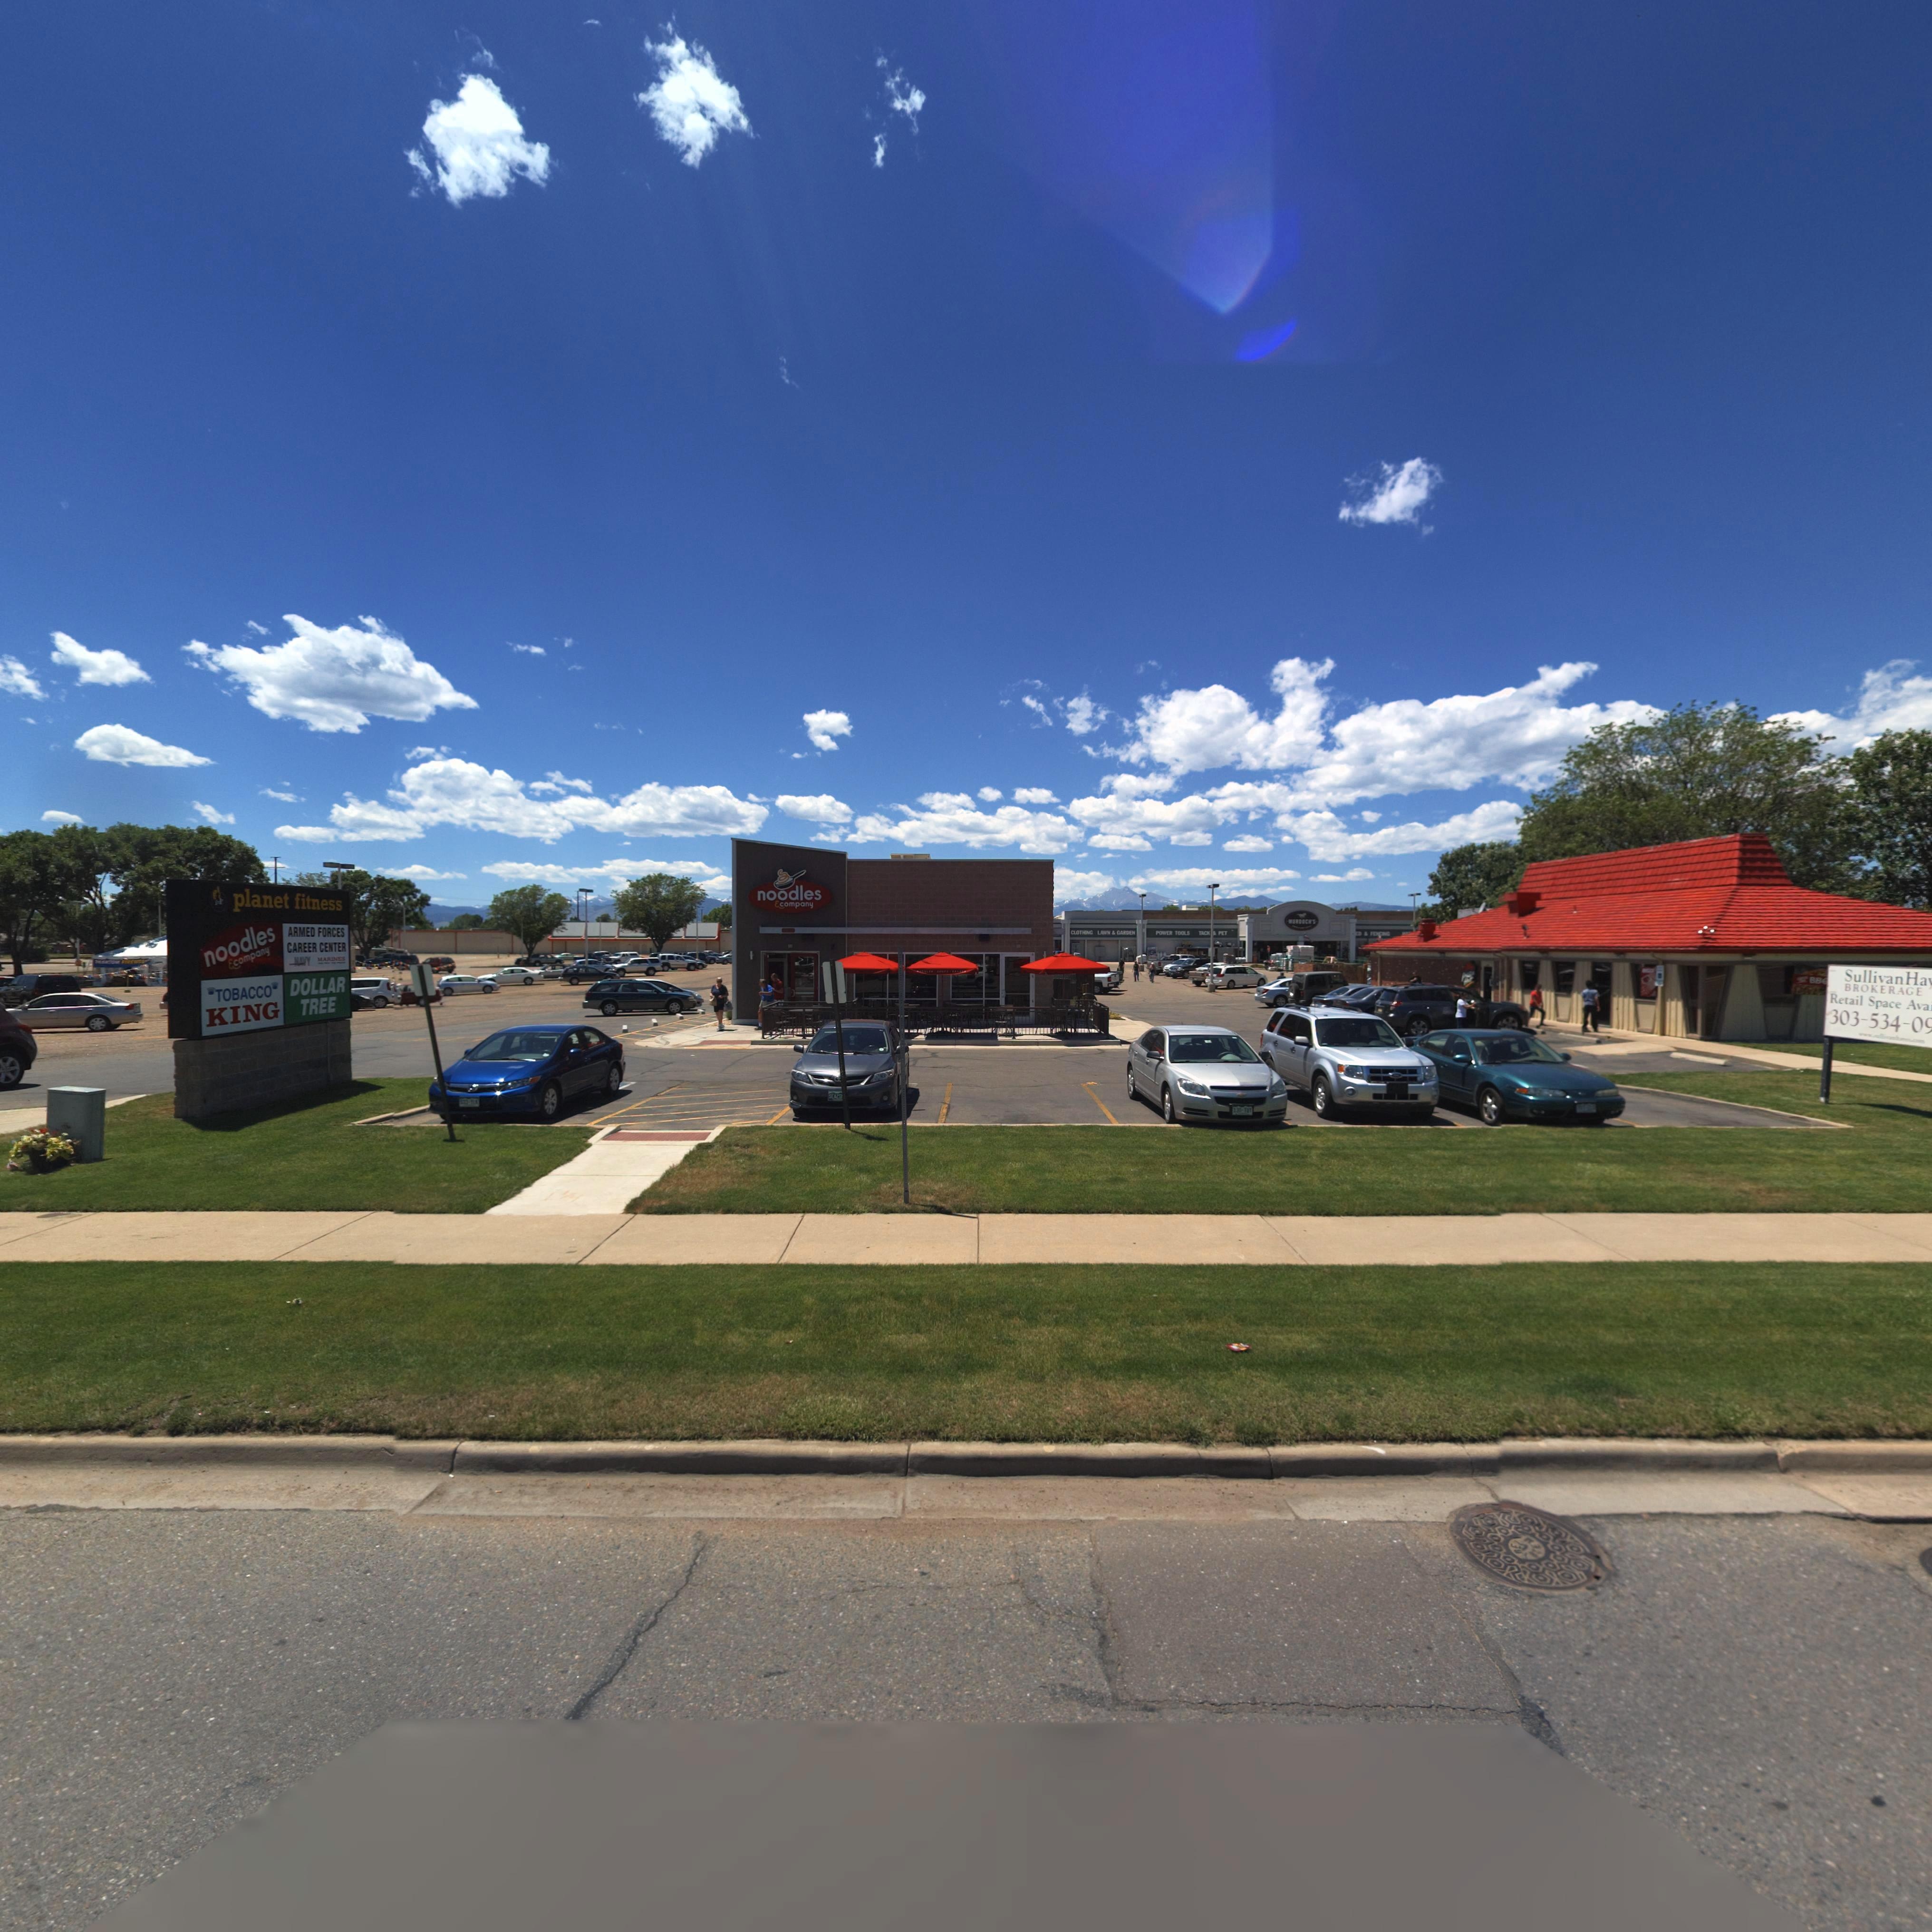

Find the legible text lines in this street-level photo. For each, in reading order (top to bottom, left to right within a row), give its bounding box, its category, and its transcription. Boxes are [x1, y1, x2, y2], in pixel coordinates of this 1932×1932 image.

[233, 888, 342, 912] BusinessName: planet fitness
[757, 884, 822, 901] BusinessName: noodles
[1288, 919, 1315, 924] BusinessName: **R*OC**S
[288, 926, 345, 937] BusinessName: ARMED FORCES
[203, 926, 275, 967] BusinessName: noodles
[286, 941, 346, 953] BusinessName: CAREER CENTER
[214, 985, 272, 1002] BusinessName: TOBACCO
[290, 976, 346, 996] BusinessName: DOLLAR
[205, 1001, 280, 1027] BusinessName: KING
[300, 996, 337, 1016] BusinessName: TREE